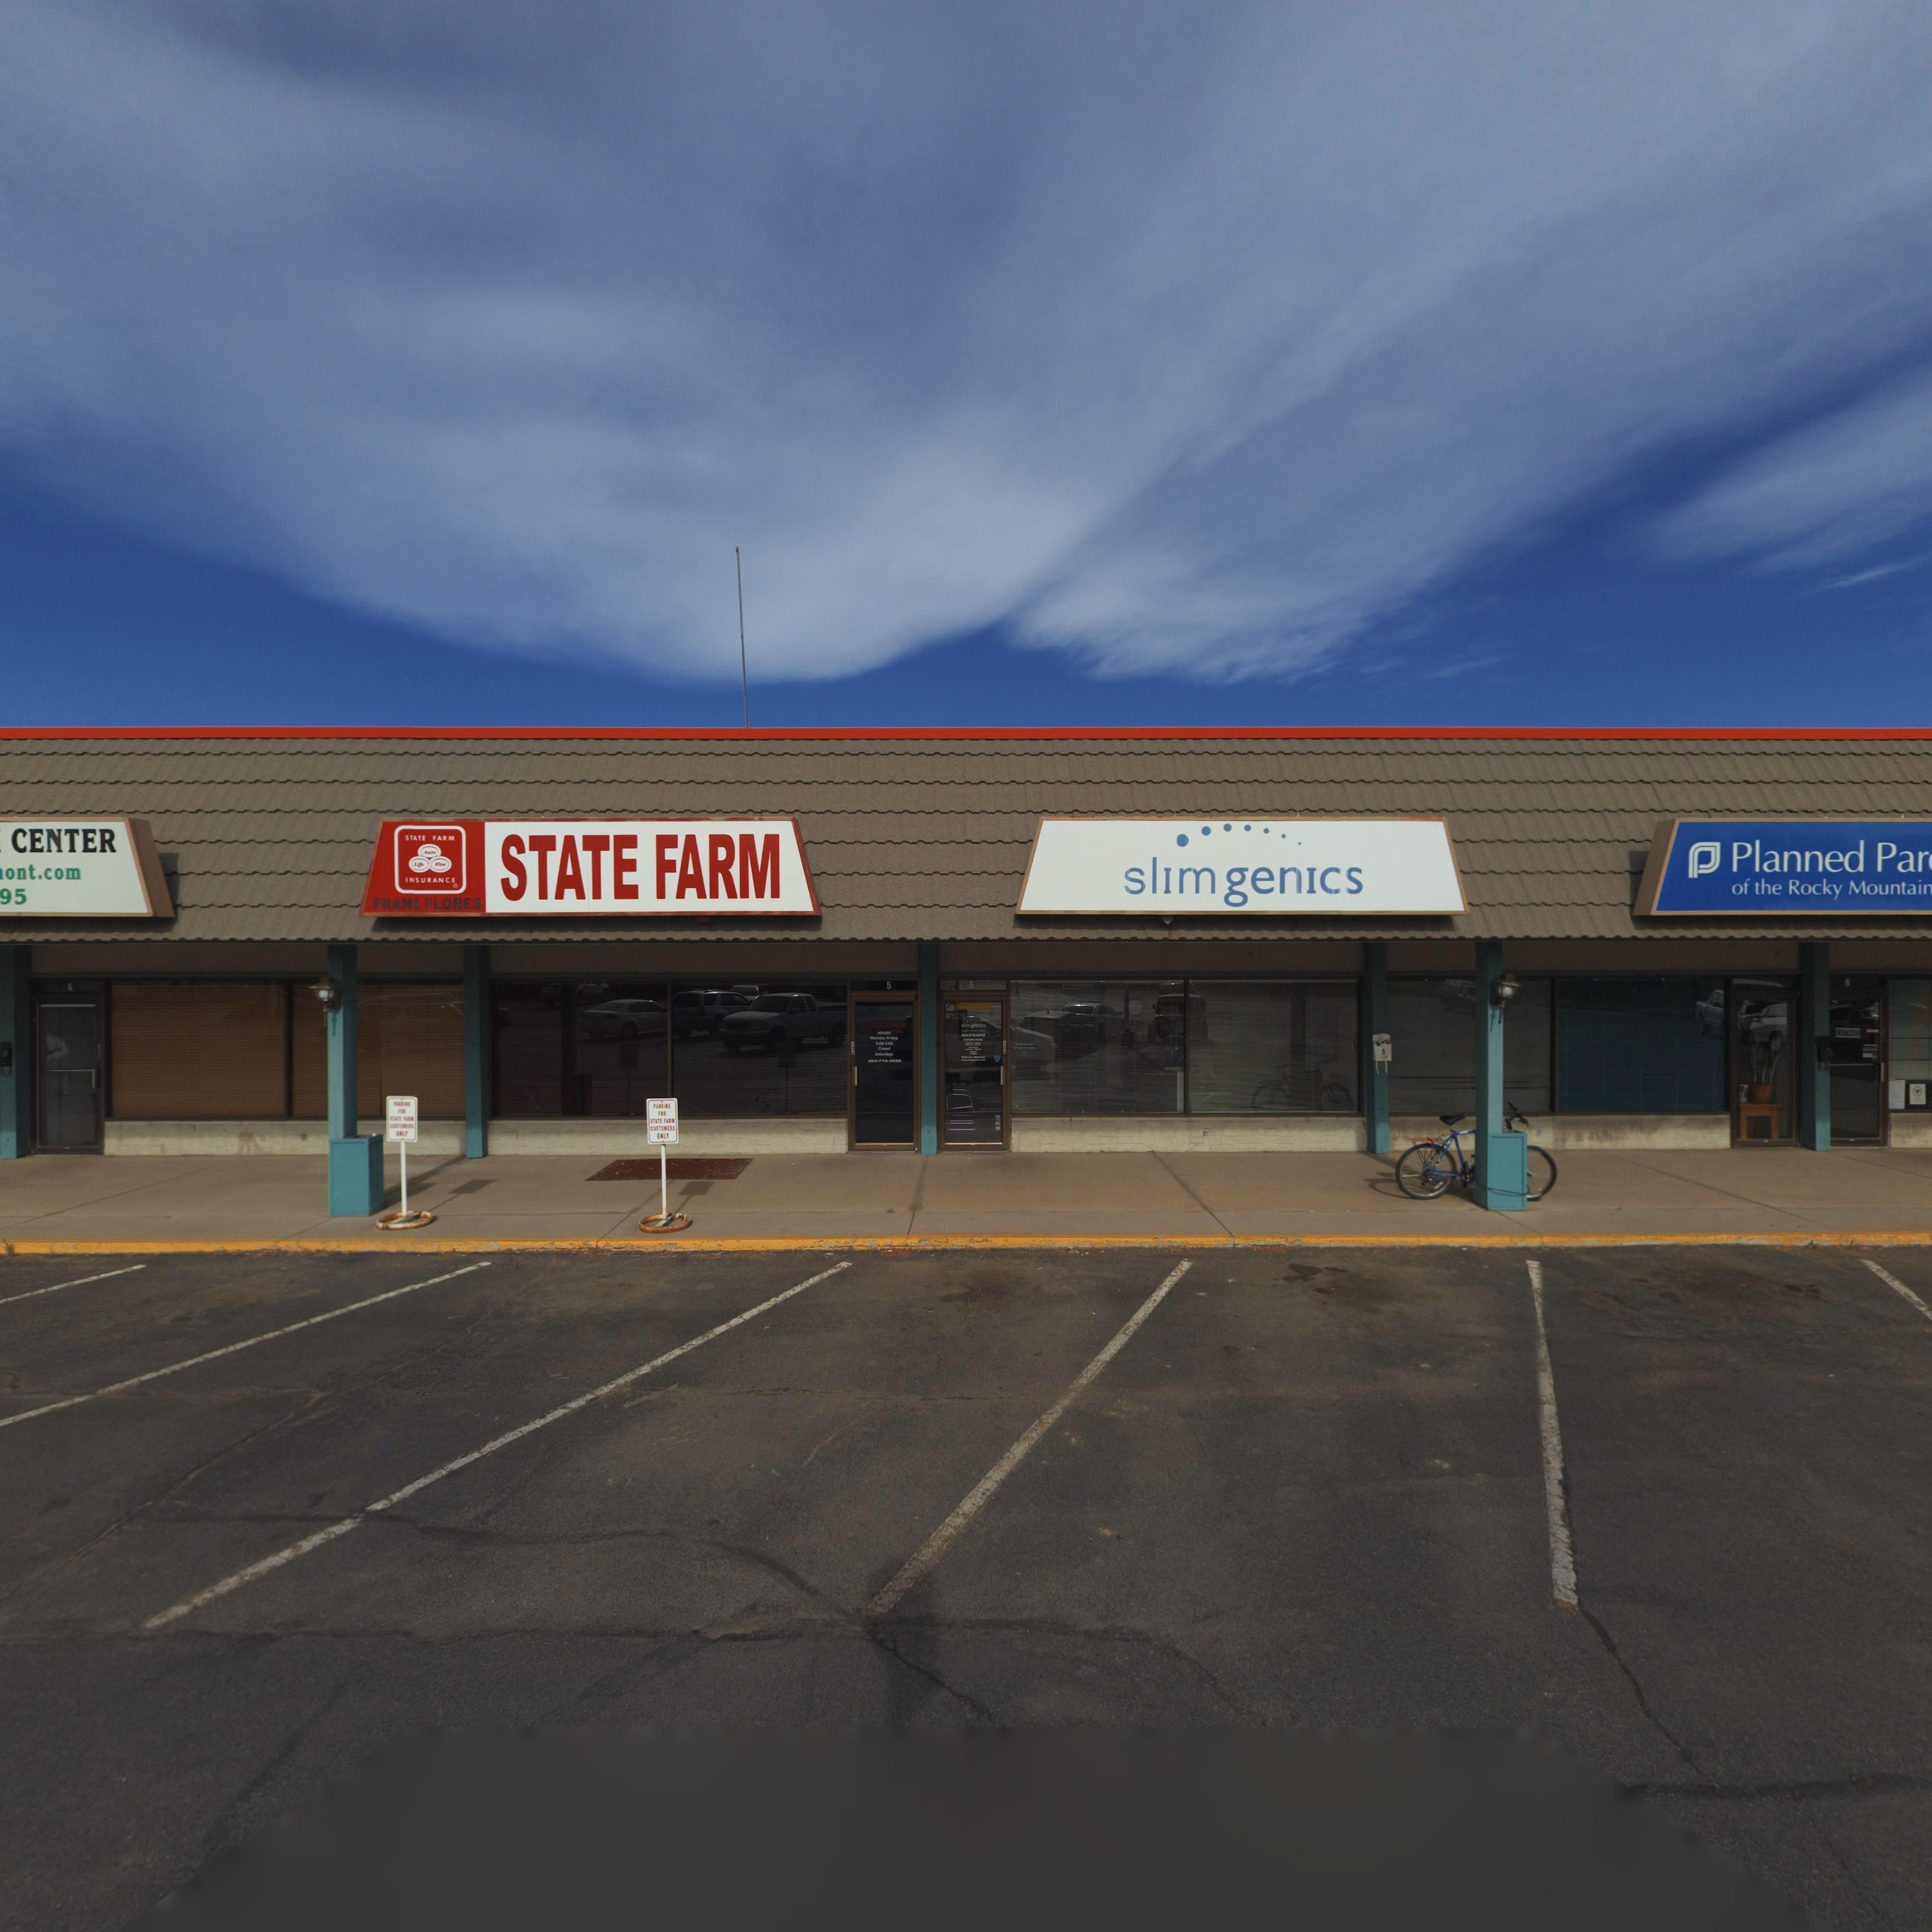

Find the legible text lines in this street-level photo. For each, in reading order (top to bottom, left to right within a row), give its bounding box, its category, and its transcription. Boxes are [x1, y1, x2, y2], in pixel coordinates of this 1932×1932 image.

[404, 834, 455, 841] BusinessName: STATE FARM
[1731, 838, 1929, 875] BusinessName: Planned Par
[498, 832, 781, 901] BusinessName: STATE FARM
[405, 877, 455, 883] BusinessName: INSURANCE
[1121, 853, 1366, 908] BusinessName: slimgenics
[67, 982, 73, 992] StreetNumber: 4
[886, 981, 892, 990] StreetNumber: 5
[969, 980, 974, 989] StreetNumber: 6
[1844, 977, 1851, 987] StreetNumber: 8